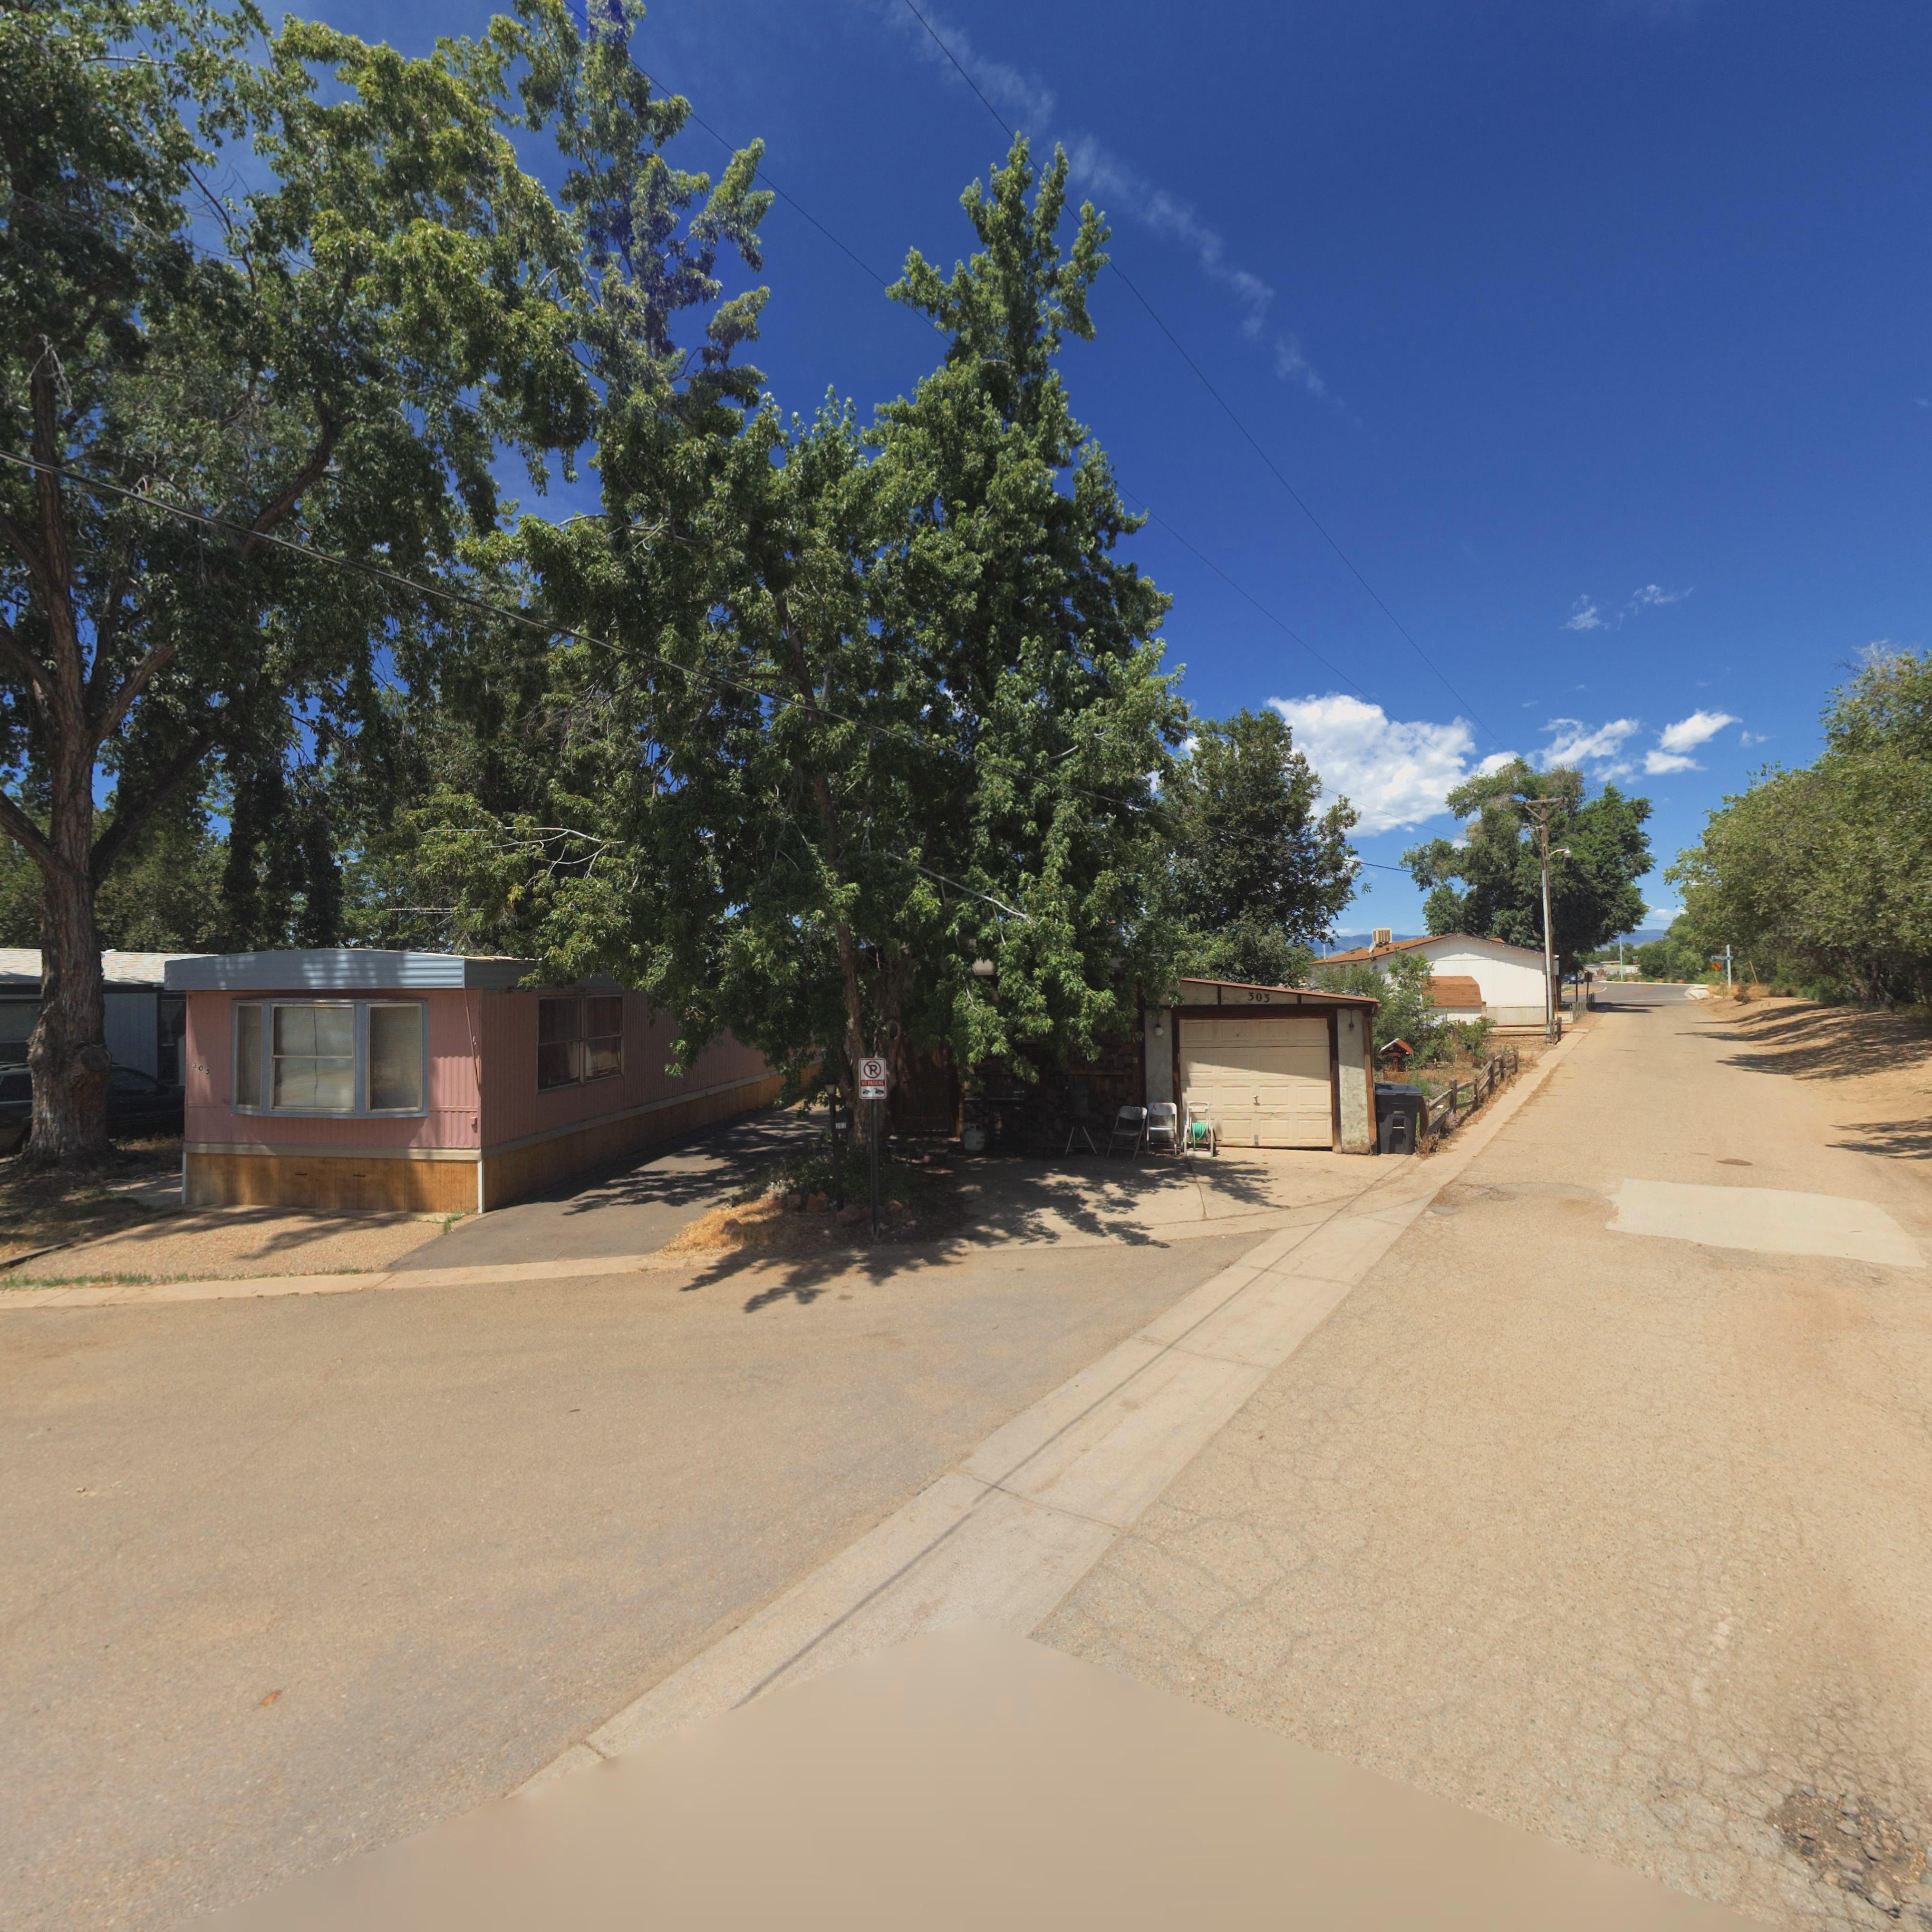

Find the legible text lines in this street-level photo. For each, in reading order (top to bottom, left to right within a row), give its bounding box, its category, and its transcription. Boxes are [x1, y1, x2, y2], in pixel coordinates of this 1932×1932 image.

[1247, 992, 1270, 1003] StreetNumber: 303
[192, 1061, 211, 1075] StreetNumber: 305